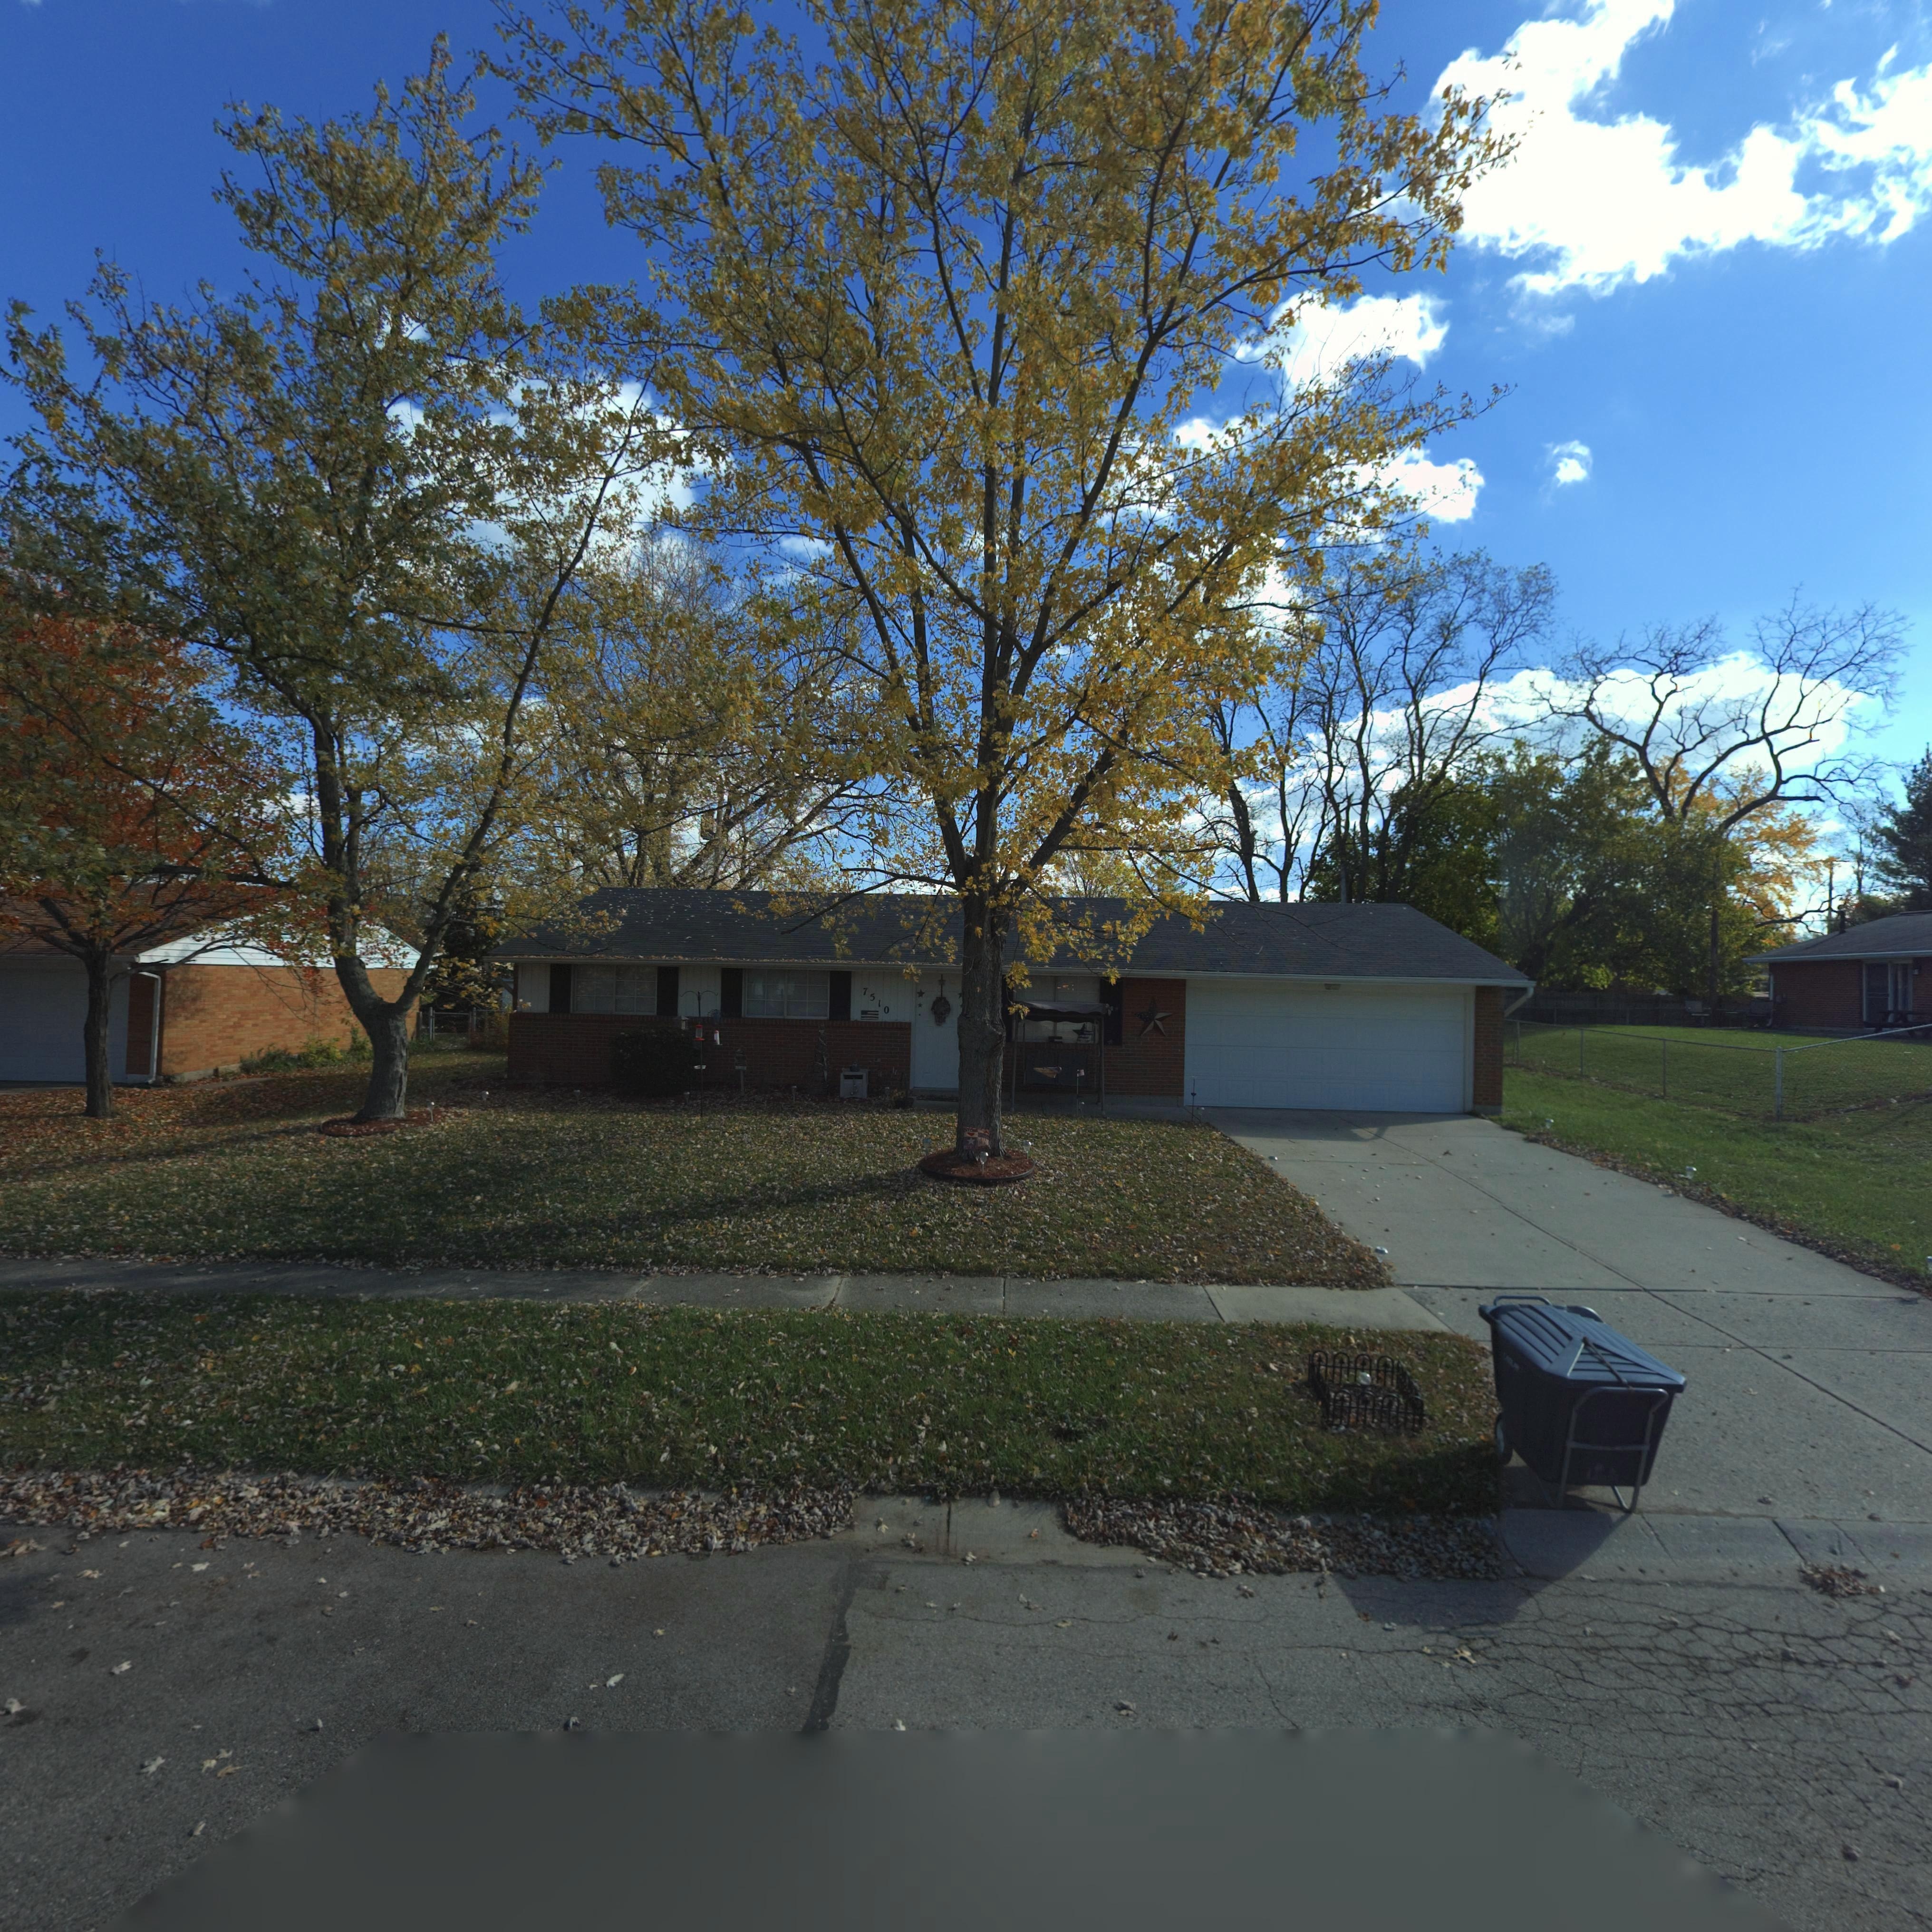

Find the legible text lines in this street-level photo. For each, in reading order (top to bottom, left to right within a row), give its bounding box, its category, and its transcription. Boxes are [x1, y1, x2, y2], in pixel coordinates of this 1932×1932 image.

[861, 986, 890, 1015] StreetNumber: 7510